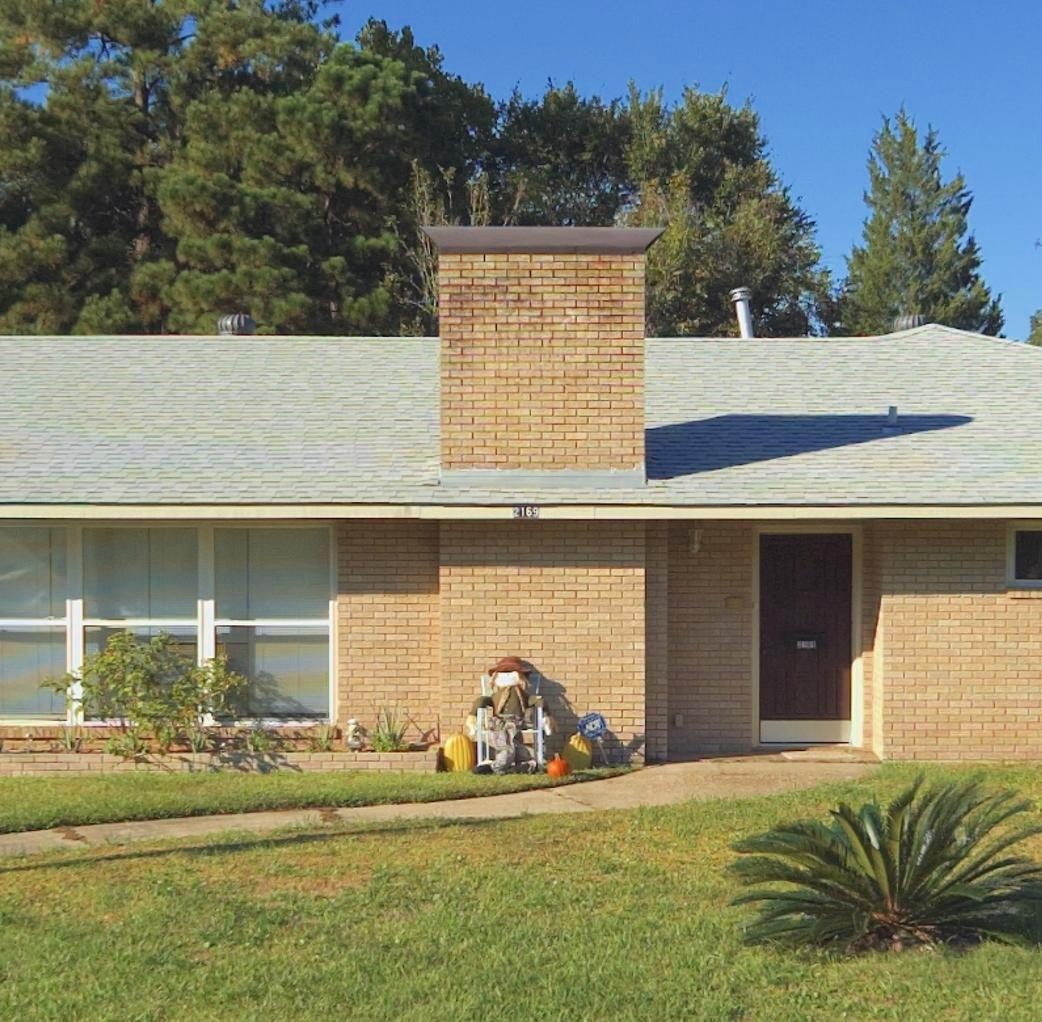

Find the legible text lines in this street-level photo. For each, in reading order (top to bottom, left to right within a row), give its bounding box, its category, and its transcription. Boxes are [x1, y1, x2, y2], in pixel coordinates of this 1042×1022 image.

[513, 506, 539, 518] StreetNumber: 2169
[584, 716, 603, 736] None: ADT